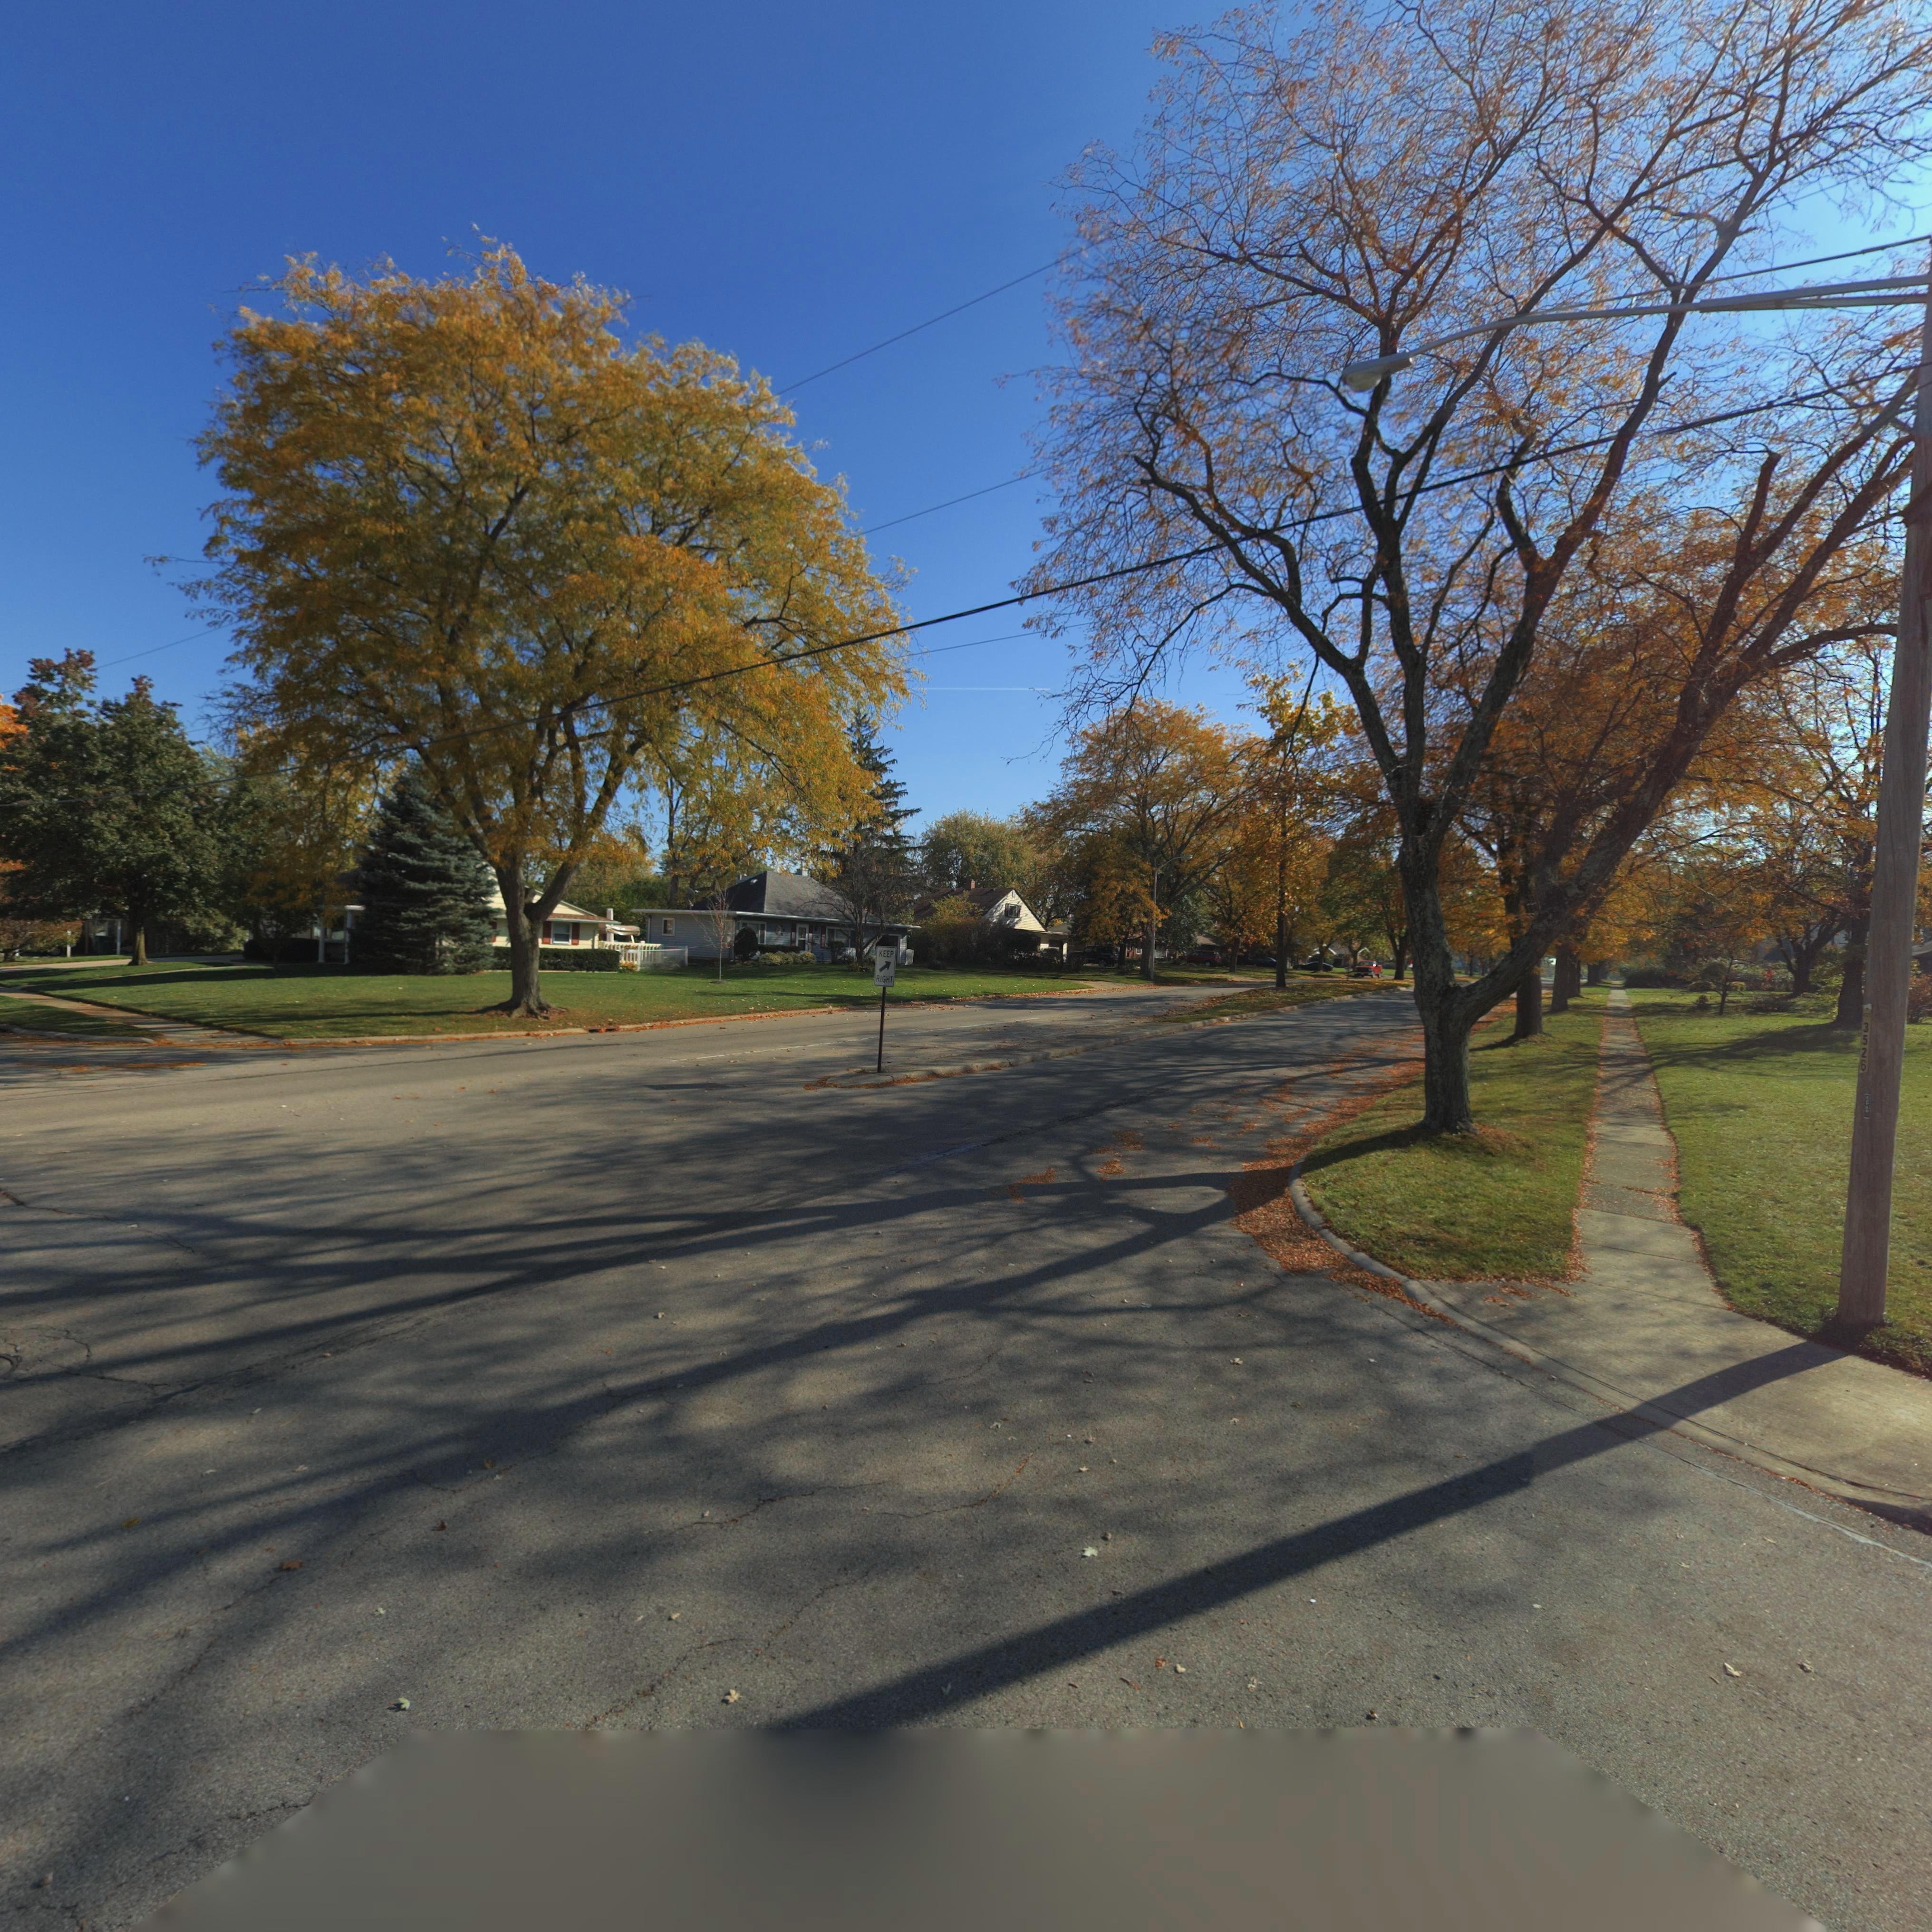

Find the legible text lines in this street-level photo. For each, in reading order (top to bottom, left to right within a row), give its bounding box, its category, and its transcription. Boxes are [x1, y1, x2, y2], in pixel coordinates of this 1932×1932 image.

[879, 950, 894, 958] None: KEEP
[876, 975, 893, 983] None: RIGHT
[1860, 1021, 1869, 1071] None: 3526